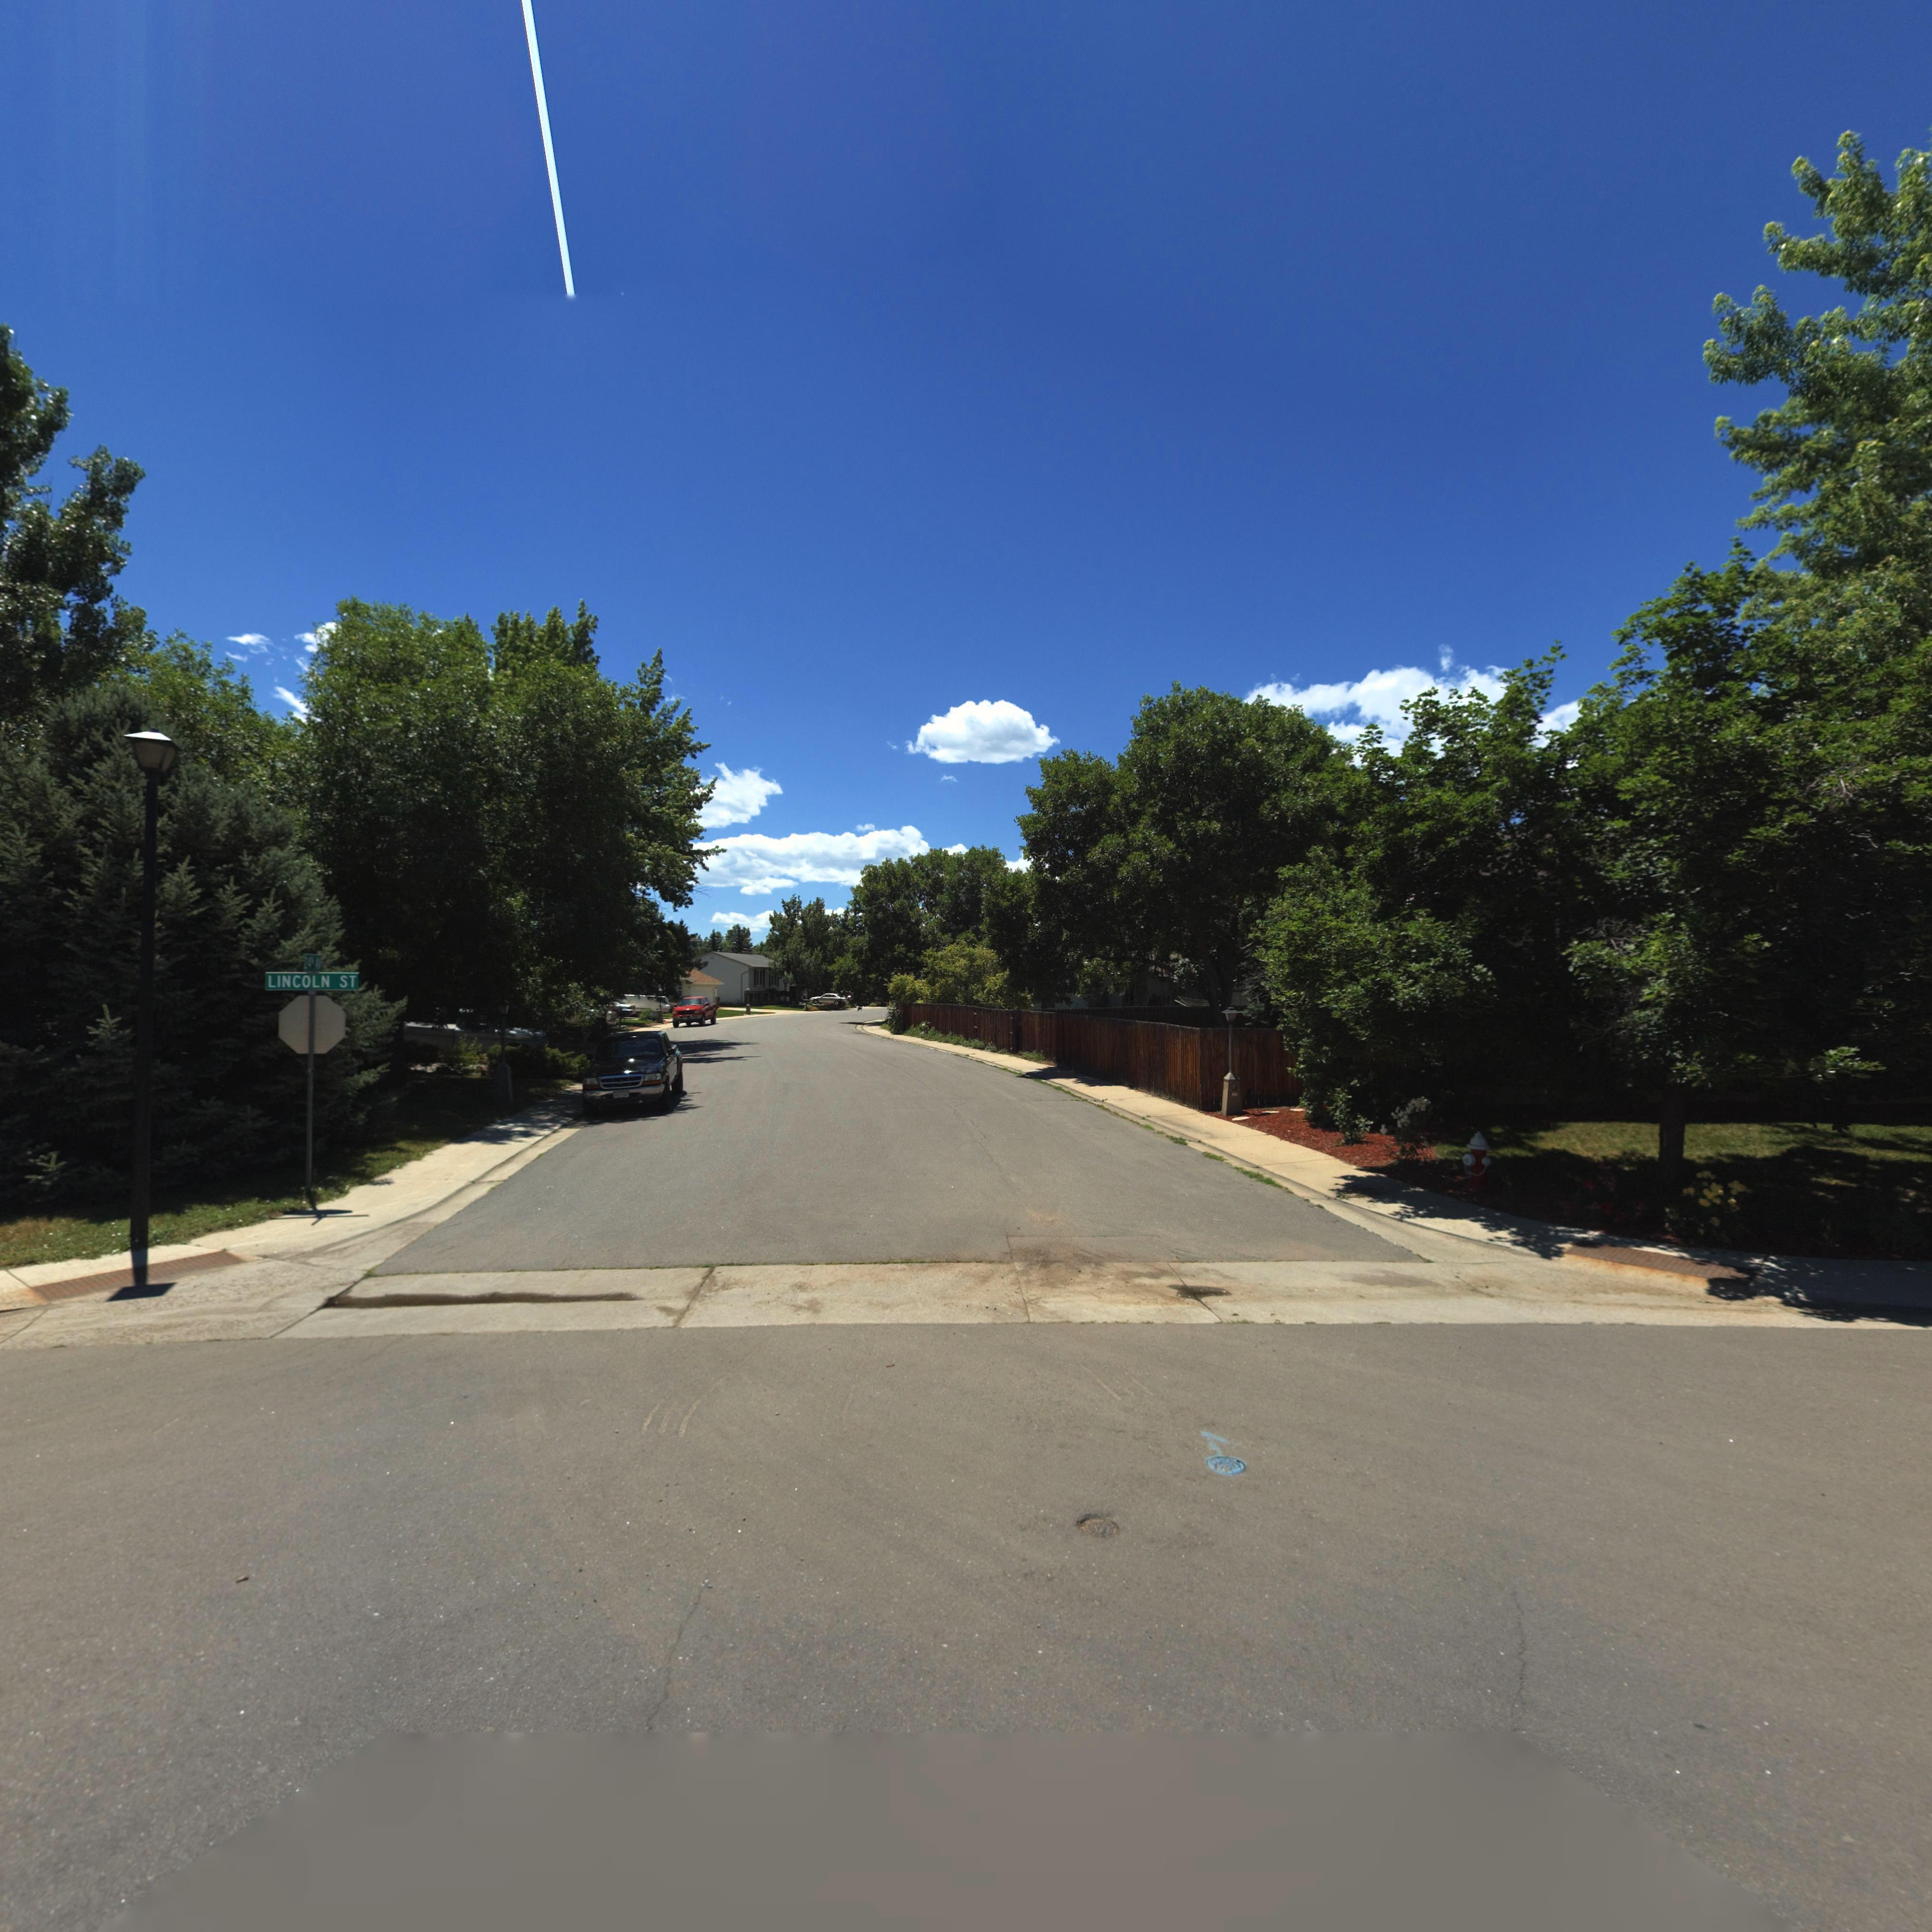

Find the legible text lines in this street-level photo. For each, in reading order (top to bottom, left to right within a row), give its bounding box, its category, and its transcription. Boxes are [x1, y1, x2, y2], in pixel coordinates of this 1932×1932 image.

[304, 956, 321, 970] StreetName: 24TH AV
[268, 975, 357, 988] StreetName: LINCOLN ST